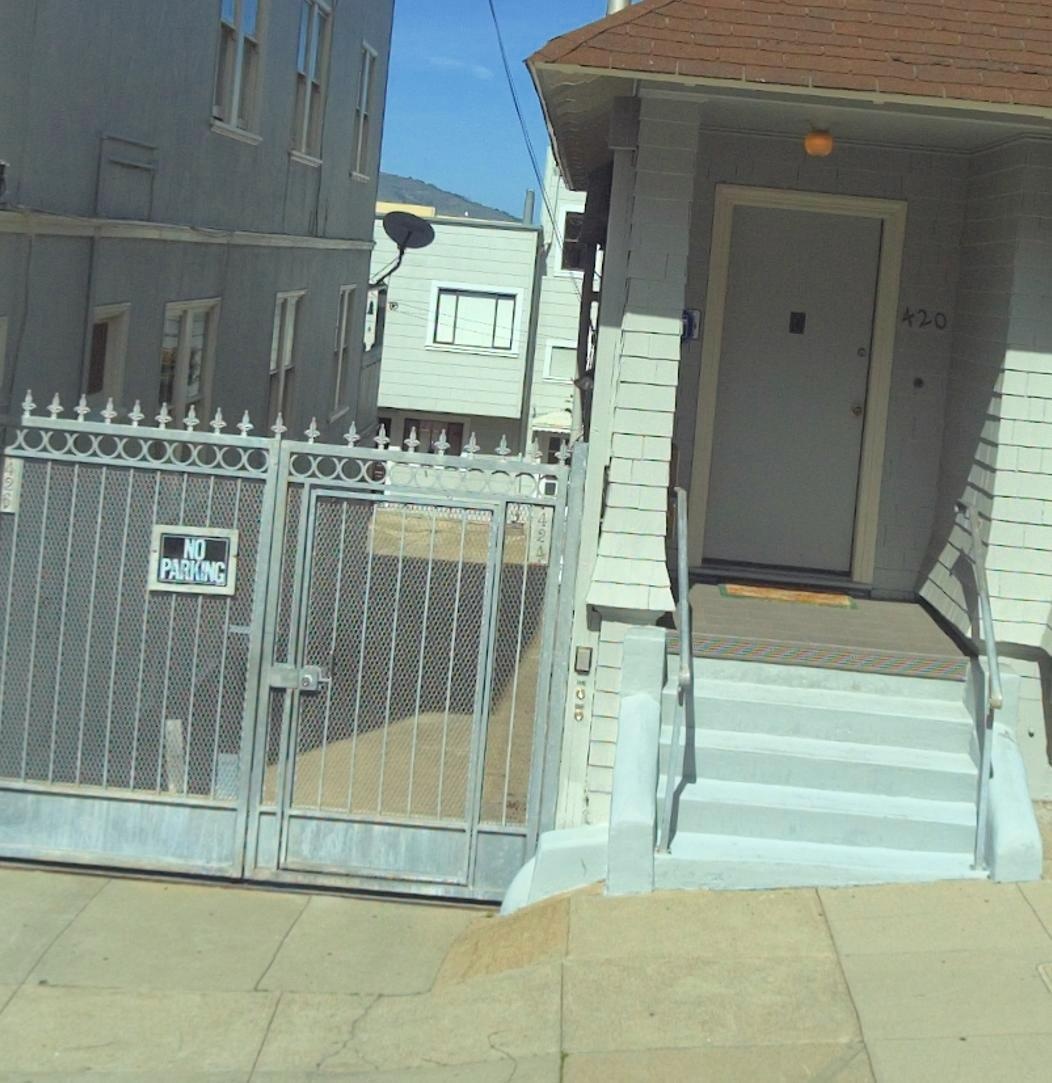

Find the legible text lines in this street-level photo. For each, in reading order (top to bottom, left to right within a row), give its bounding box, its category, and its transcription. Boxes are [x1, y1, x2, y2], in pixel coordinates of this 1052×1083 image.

[897, 304, 953, 335] StreetNumber: 420
[1, 458, 21, 514] StreetNumber: 426
[182, 536, 208, 560] None: NO
[532, 508, 552, 565] StreetNumber: 424
[159, 557, 229, 589] None: PARKING